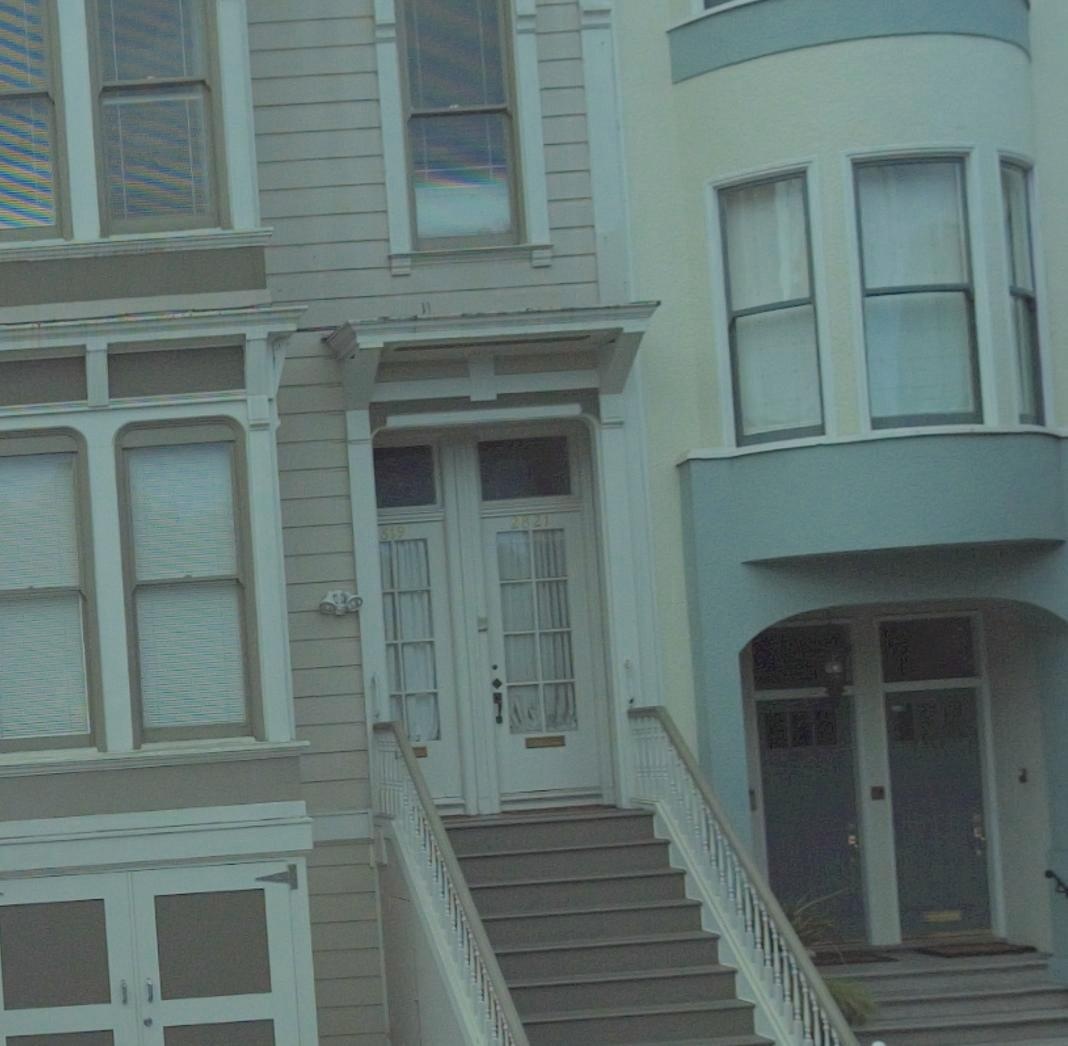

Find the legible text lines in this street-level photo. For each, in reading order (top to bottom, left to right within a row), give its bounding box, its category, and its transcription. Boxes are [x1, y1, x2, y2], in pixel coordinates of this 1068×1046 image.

[508, 512, 552, 532] StreetNumber: 2821
[378, 523, 408, 542] StreetNumber: 819